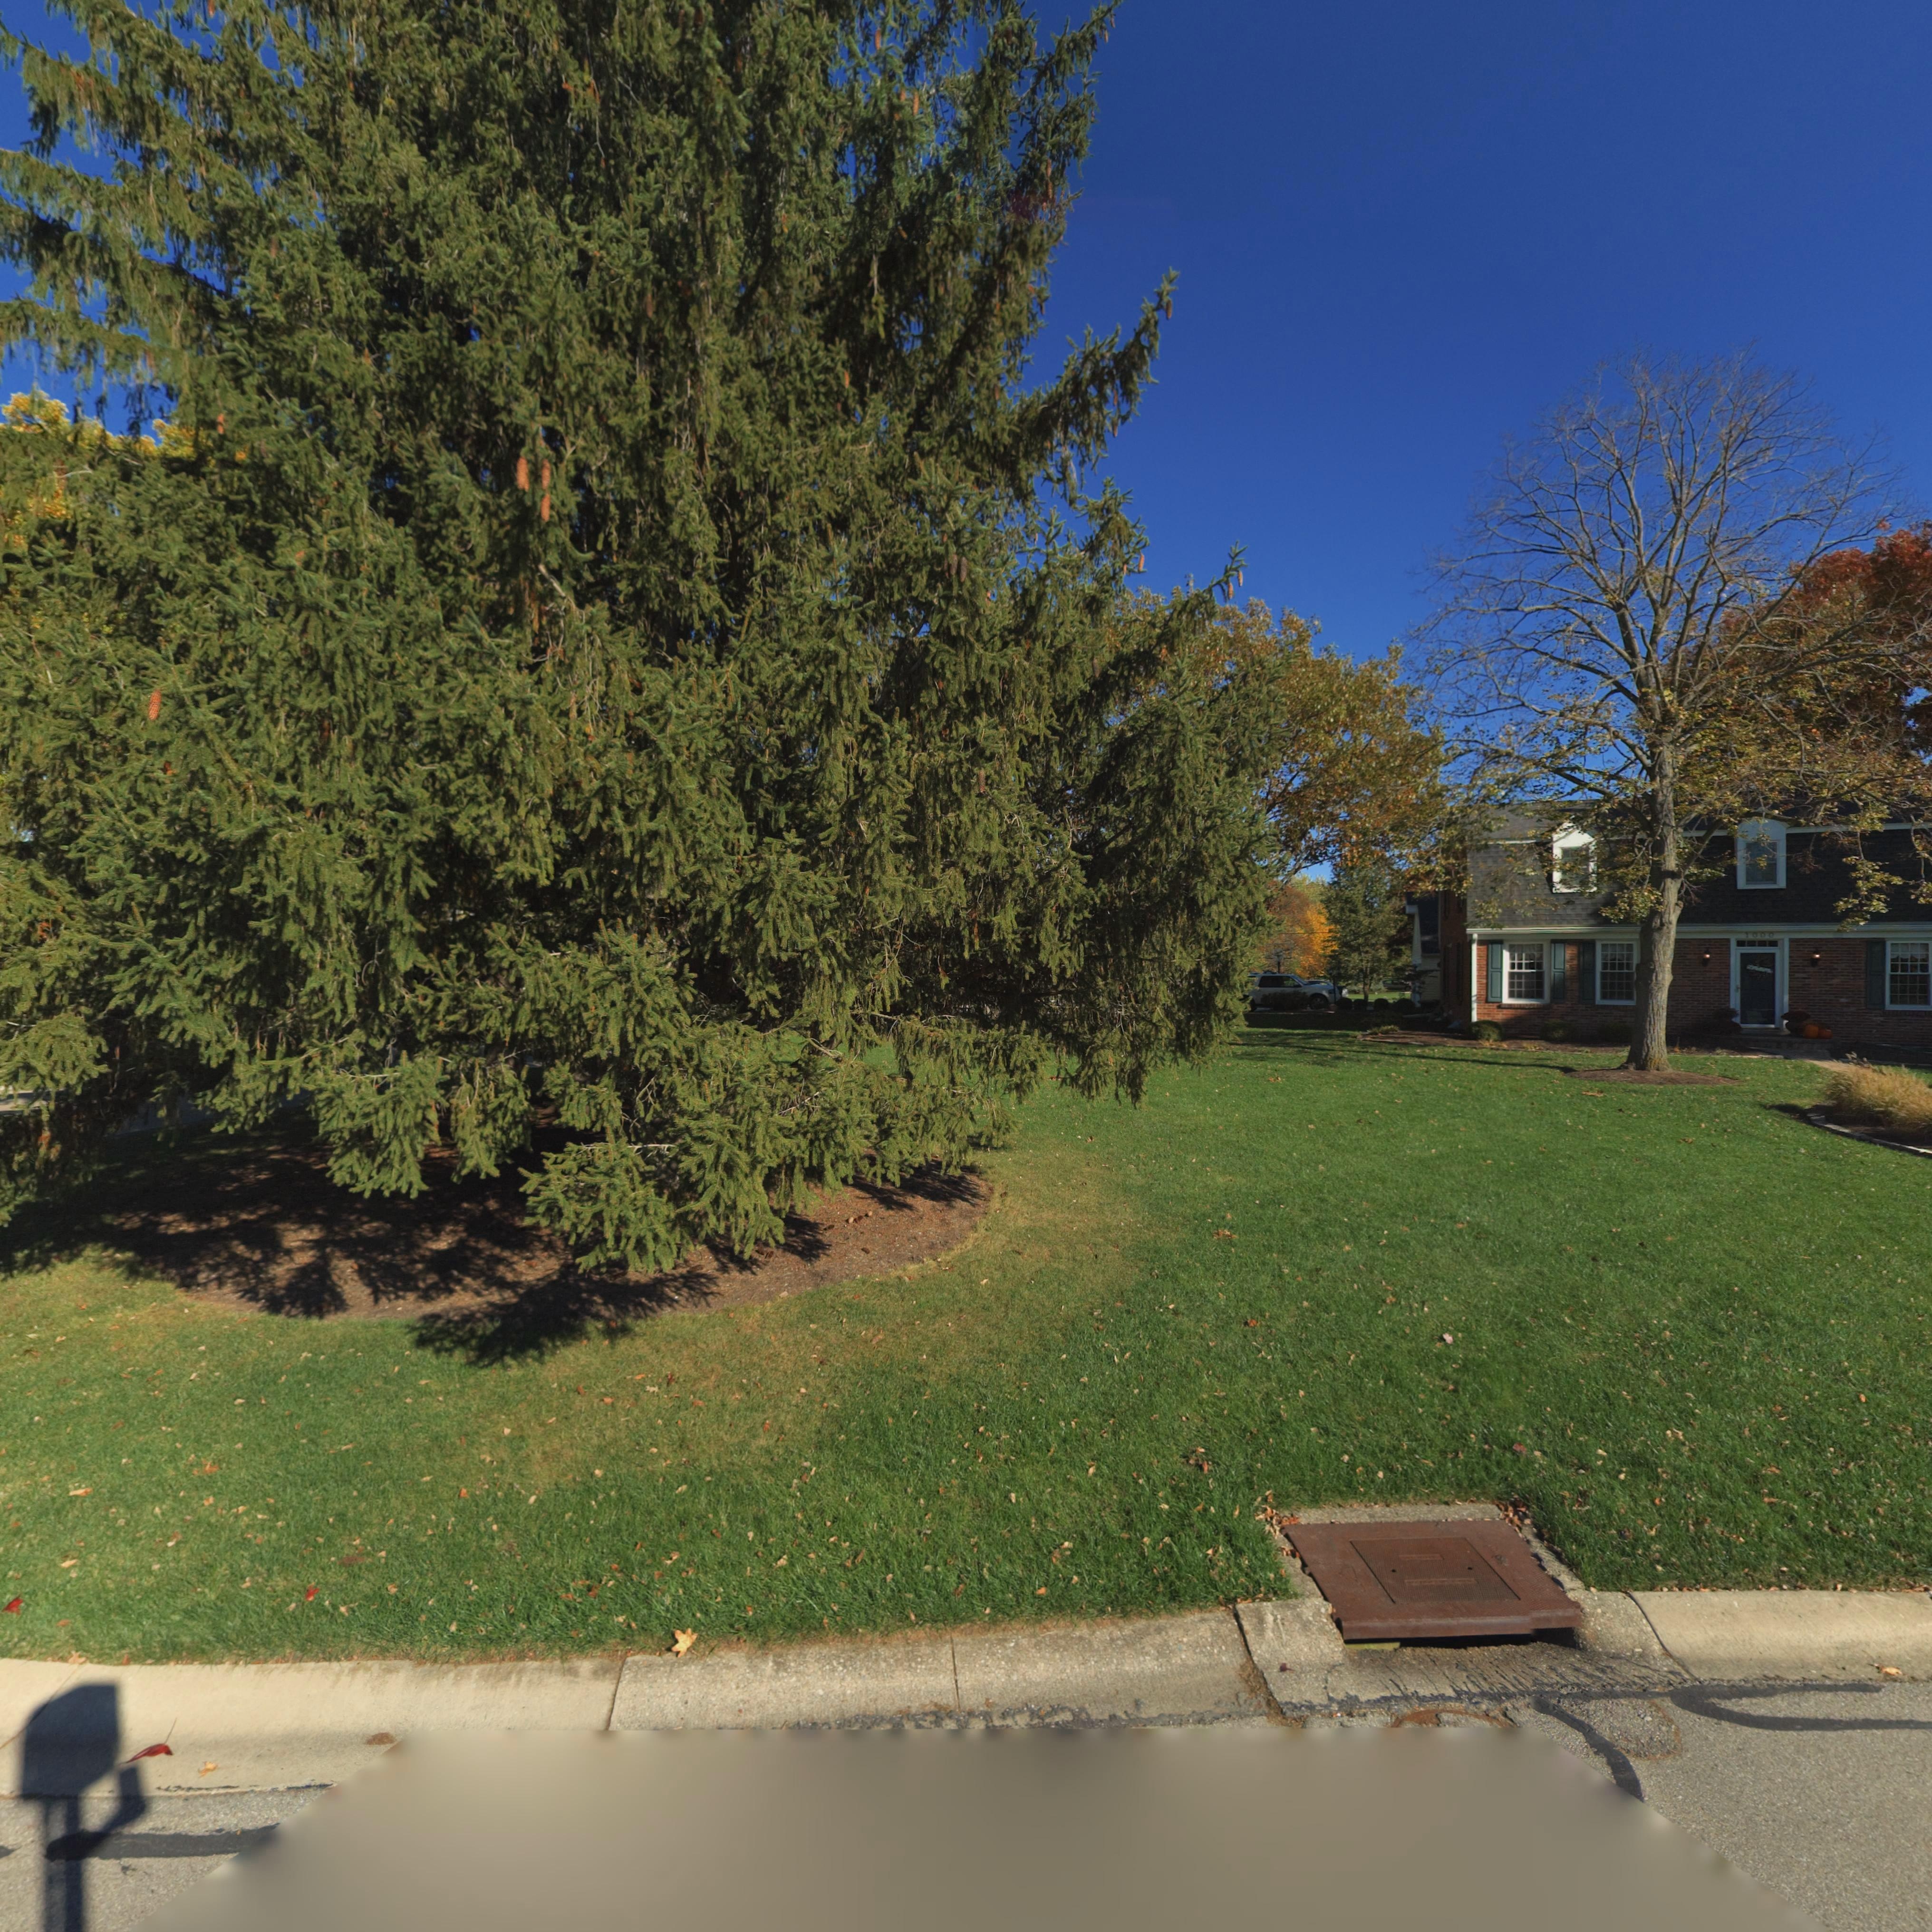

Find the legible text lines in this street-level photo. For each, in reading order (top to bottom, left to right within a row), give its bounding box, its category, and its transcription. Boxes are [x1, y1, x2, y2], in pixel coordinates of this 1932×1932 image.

[1744, 931, 1775, 939] StreetNumber: 1000